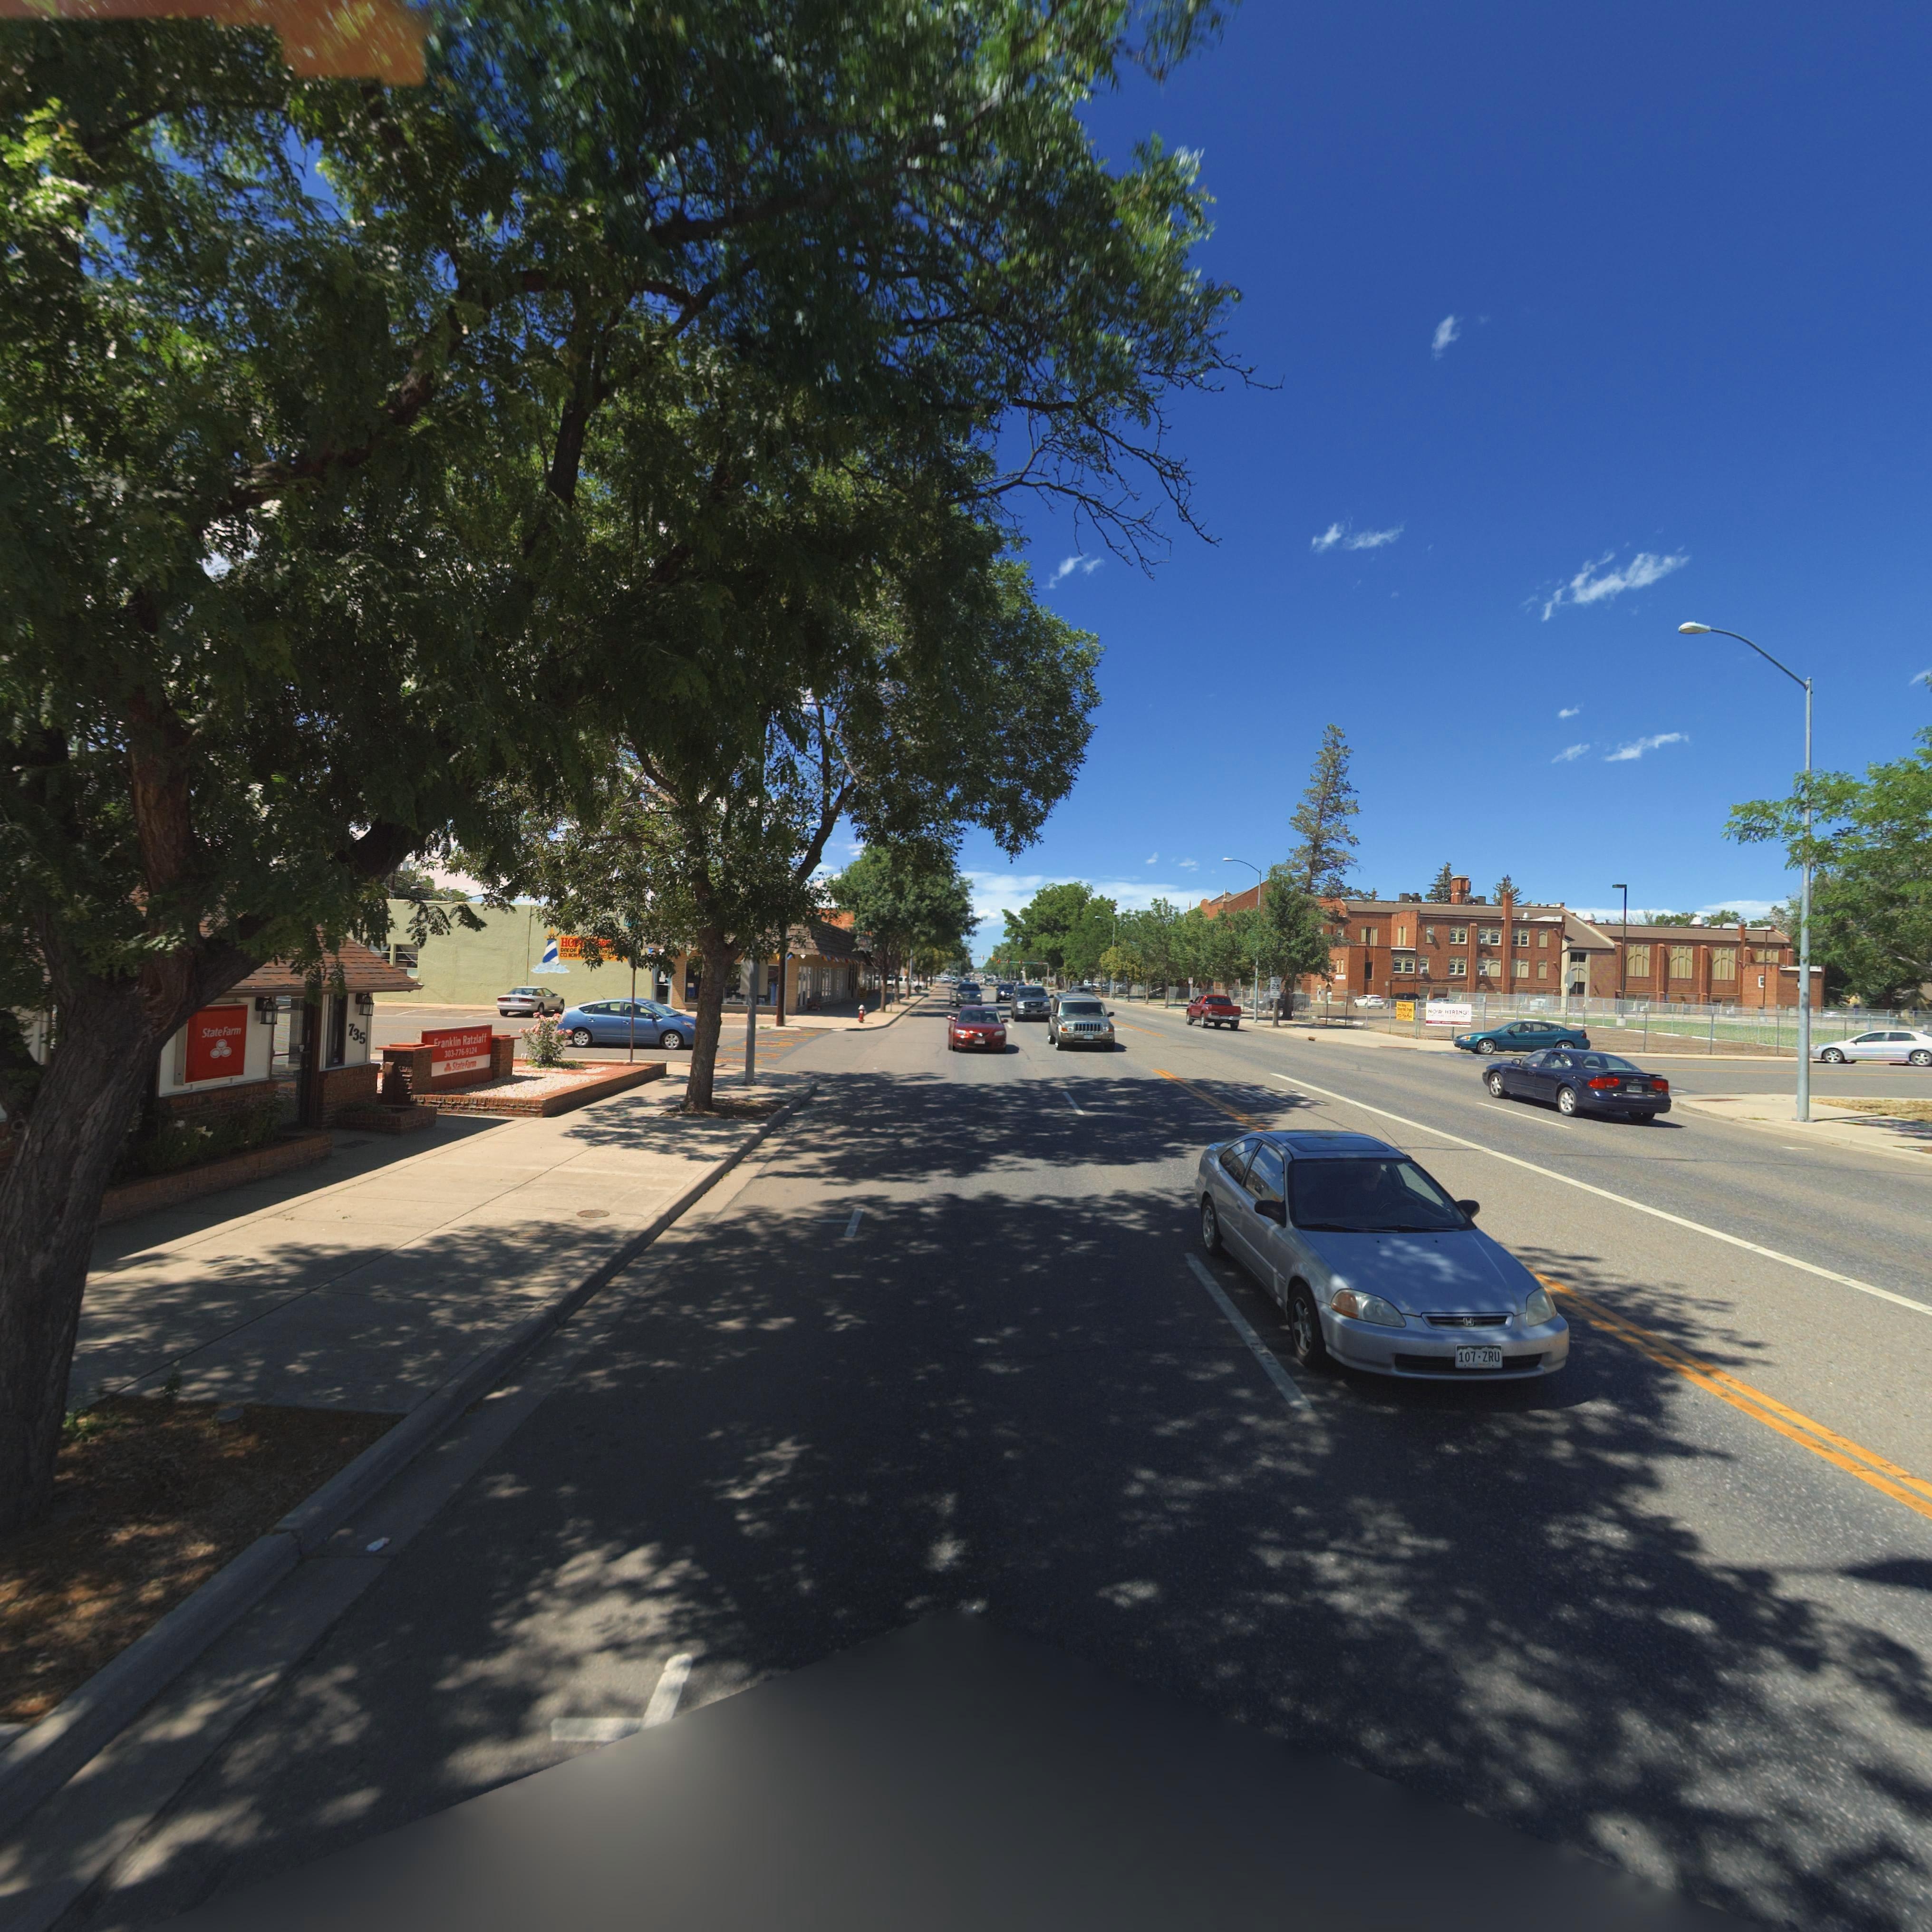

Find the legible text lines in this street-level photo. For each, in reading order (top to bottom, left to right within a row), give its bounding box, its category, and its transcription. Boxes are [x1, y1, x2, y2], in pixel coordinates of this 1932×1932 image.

[560, 937, 626, 949] BusinessName: HO**** **********
[201, 1026, 241, 1038] BusinessName: State Farm
[348, 1023, 366, 1045] StreetNumber: 735
[451, 1060, 476, 1071] BusinessName: State Farm